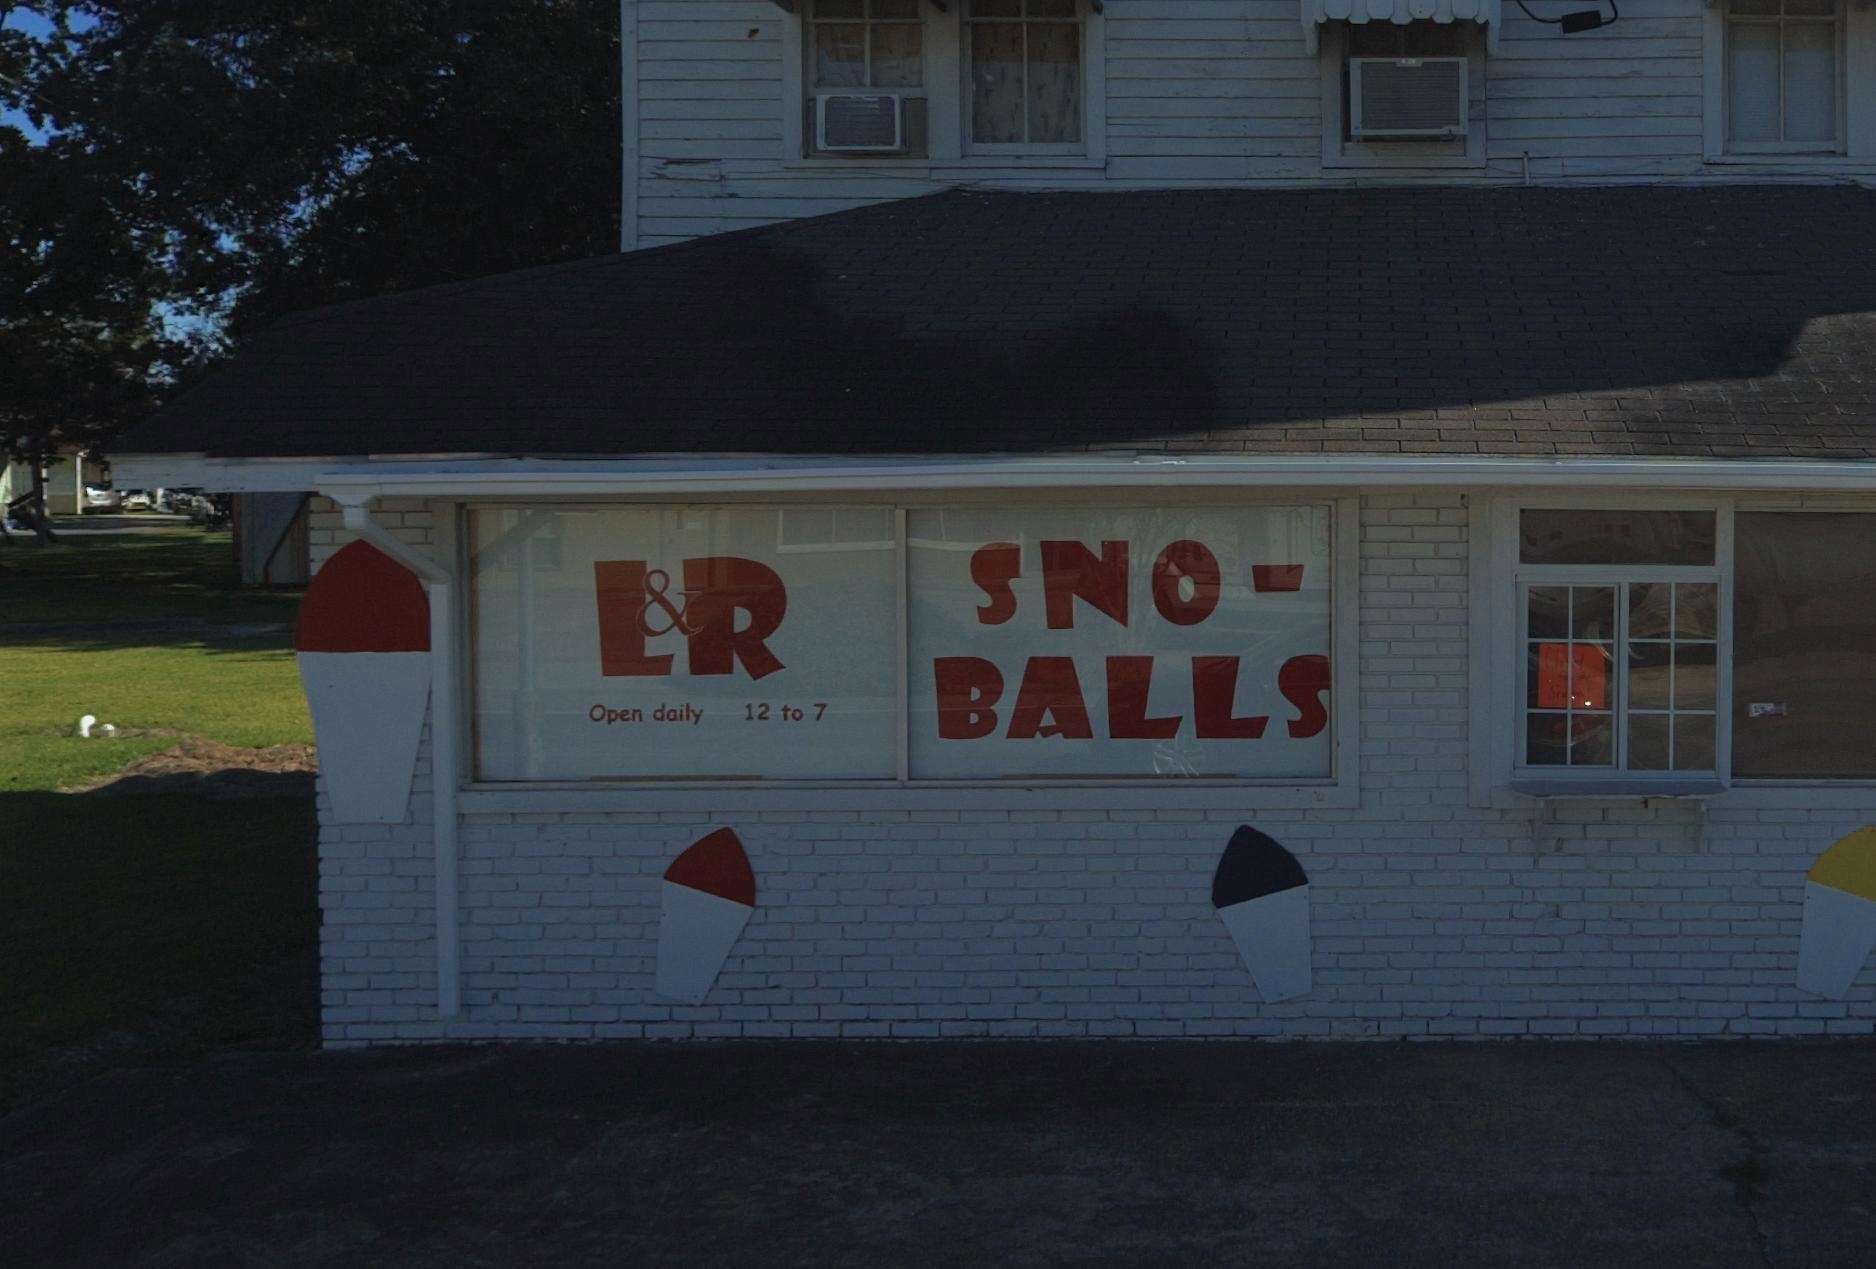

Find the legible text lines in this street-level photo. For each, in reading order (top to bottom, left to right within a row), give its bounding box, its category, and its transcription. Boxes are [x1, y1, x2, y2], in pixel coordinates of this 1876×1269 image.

[591, 555, 790, 680] BusinessName: L & R
[587, 701, 829, 727] None: Open daily 12 to 7
[931, 652, 1333, 742] BusinessName: BALLS
[966, 539, 1309, 631] BusinessName: SNO-
[1546, 682, 1559, 700] None: s
[1544, 645, 1585, 671] None: Clo***